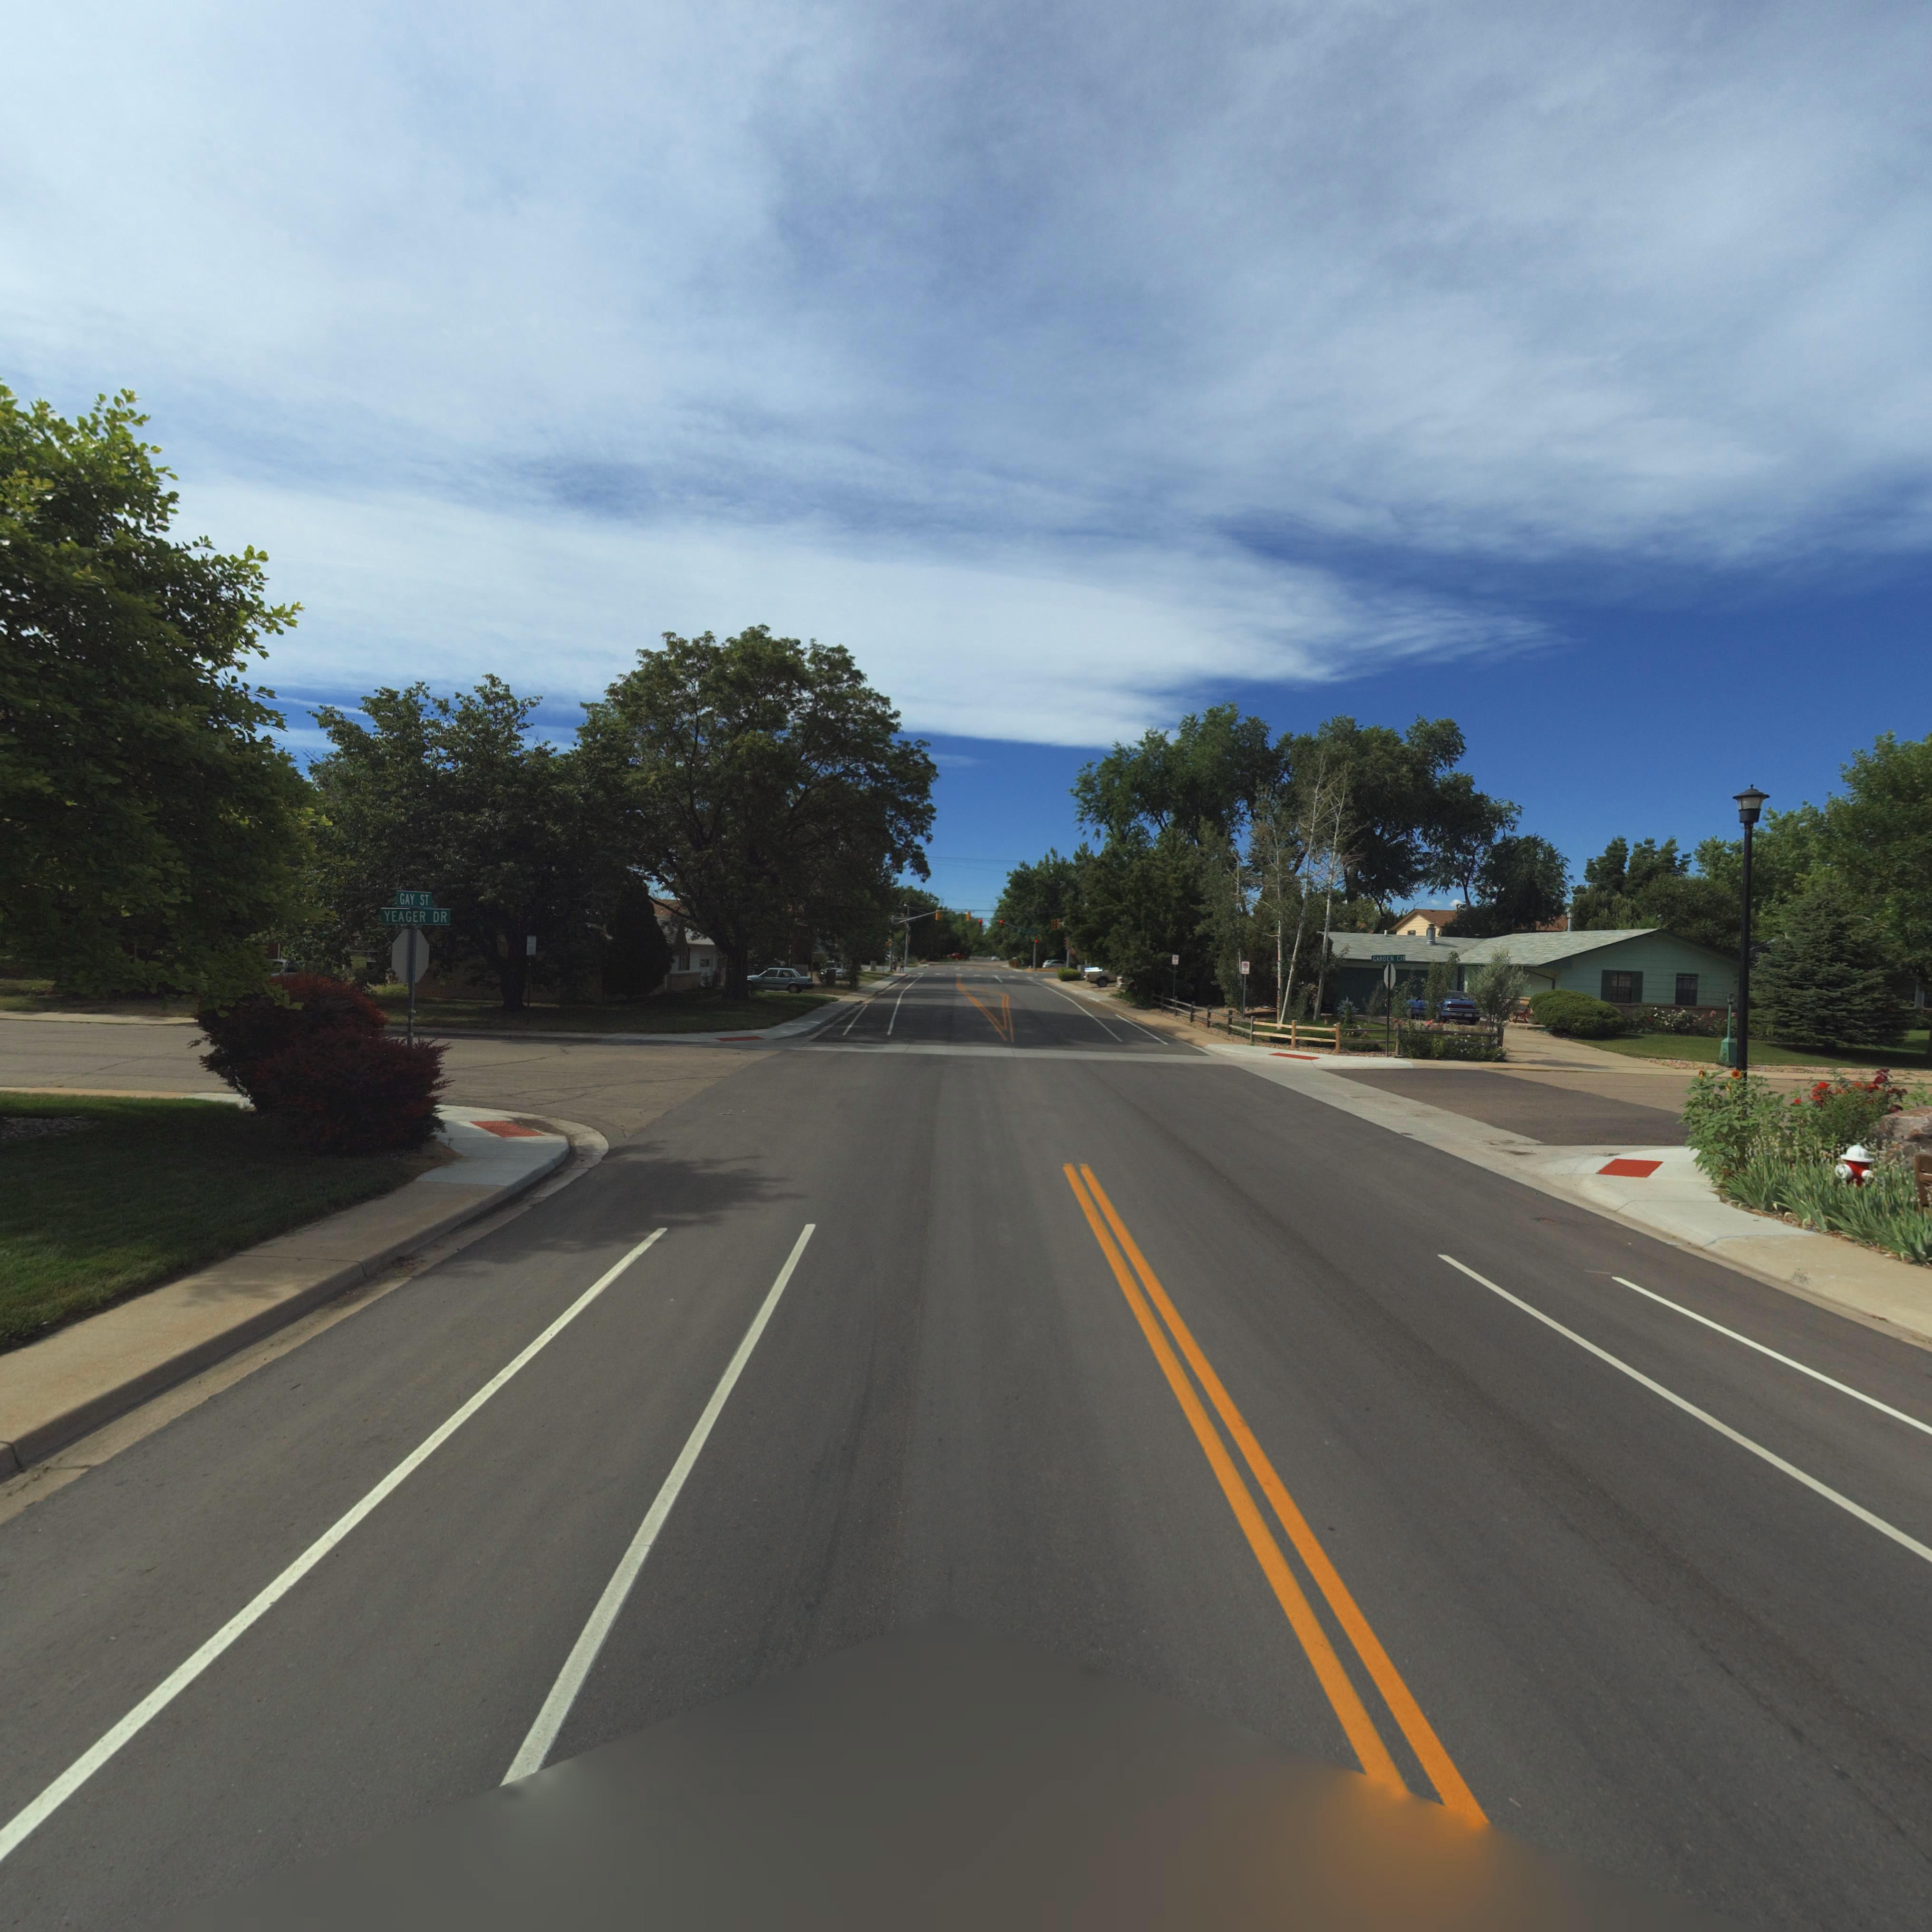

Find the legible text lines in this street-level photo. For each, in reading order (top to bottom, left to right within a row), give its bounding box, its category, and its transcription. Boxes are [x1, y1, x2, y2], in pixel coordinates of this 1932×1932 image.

[399, 892, 429, 906] StreetName: GAY ST
[383, 910, 447, 923] StreetName: YEAGER DR
[1372, 955, 1405, 962] StreetName: GARDEN CIR